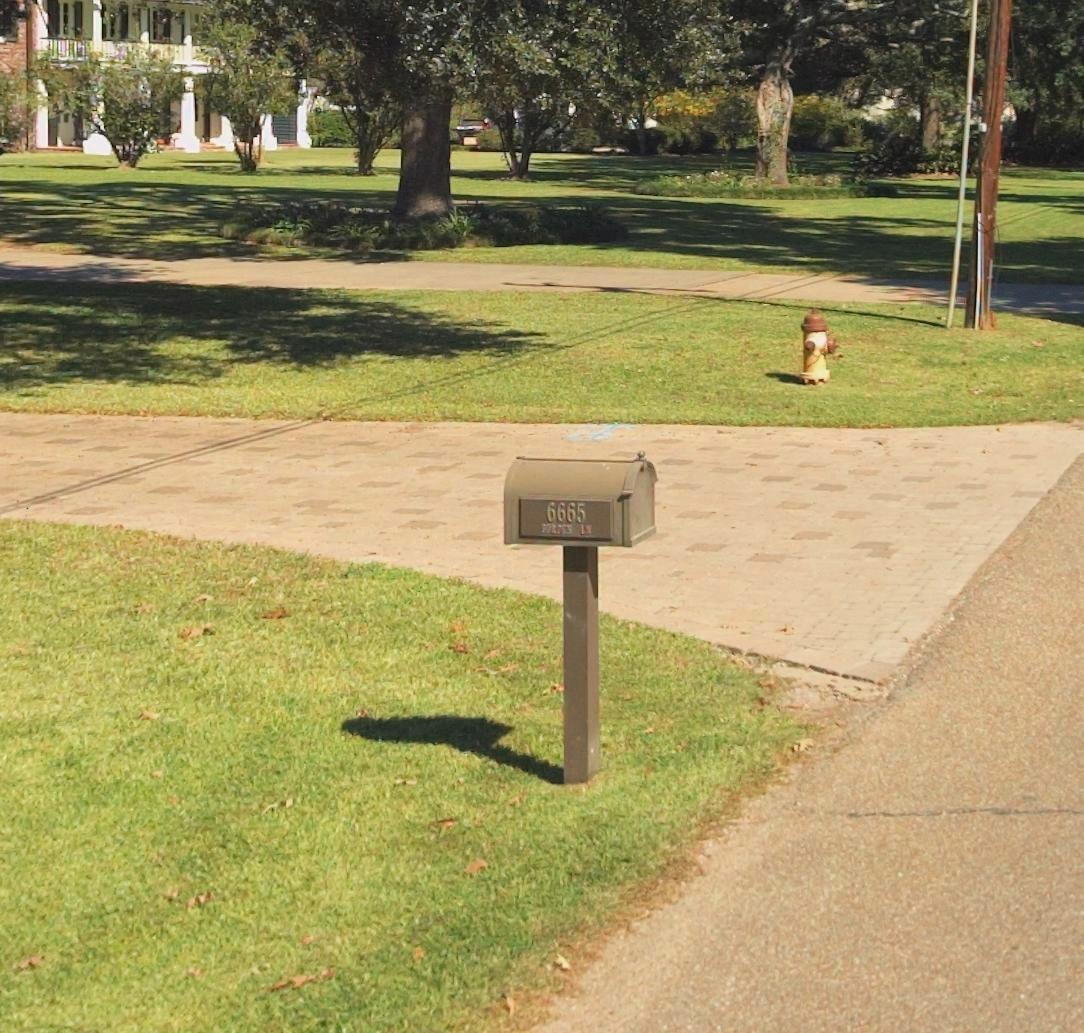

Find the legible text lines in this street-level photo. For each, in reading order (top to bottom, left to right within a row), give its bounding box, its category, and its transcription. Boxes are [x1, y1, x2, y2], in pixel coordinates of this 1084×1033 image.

[544, 500, 587, 525] StreetNumber: 6665